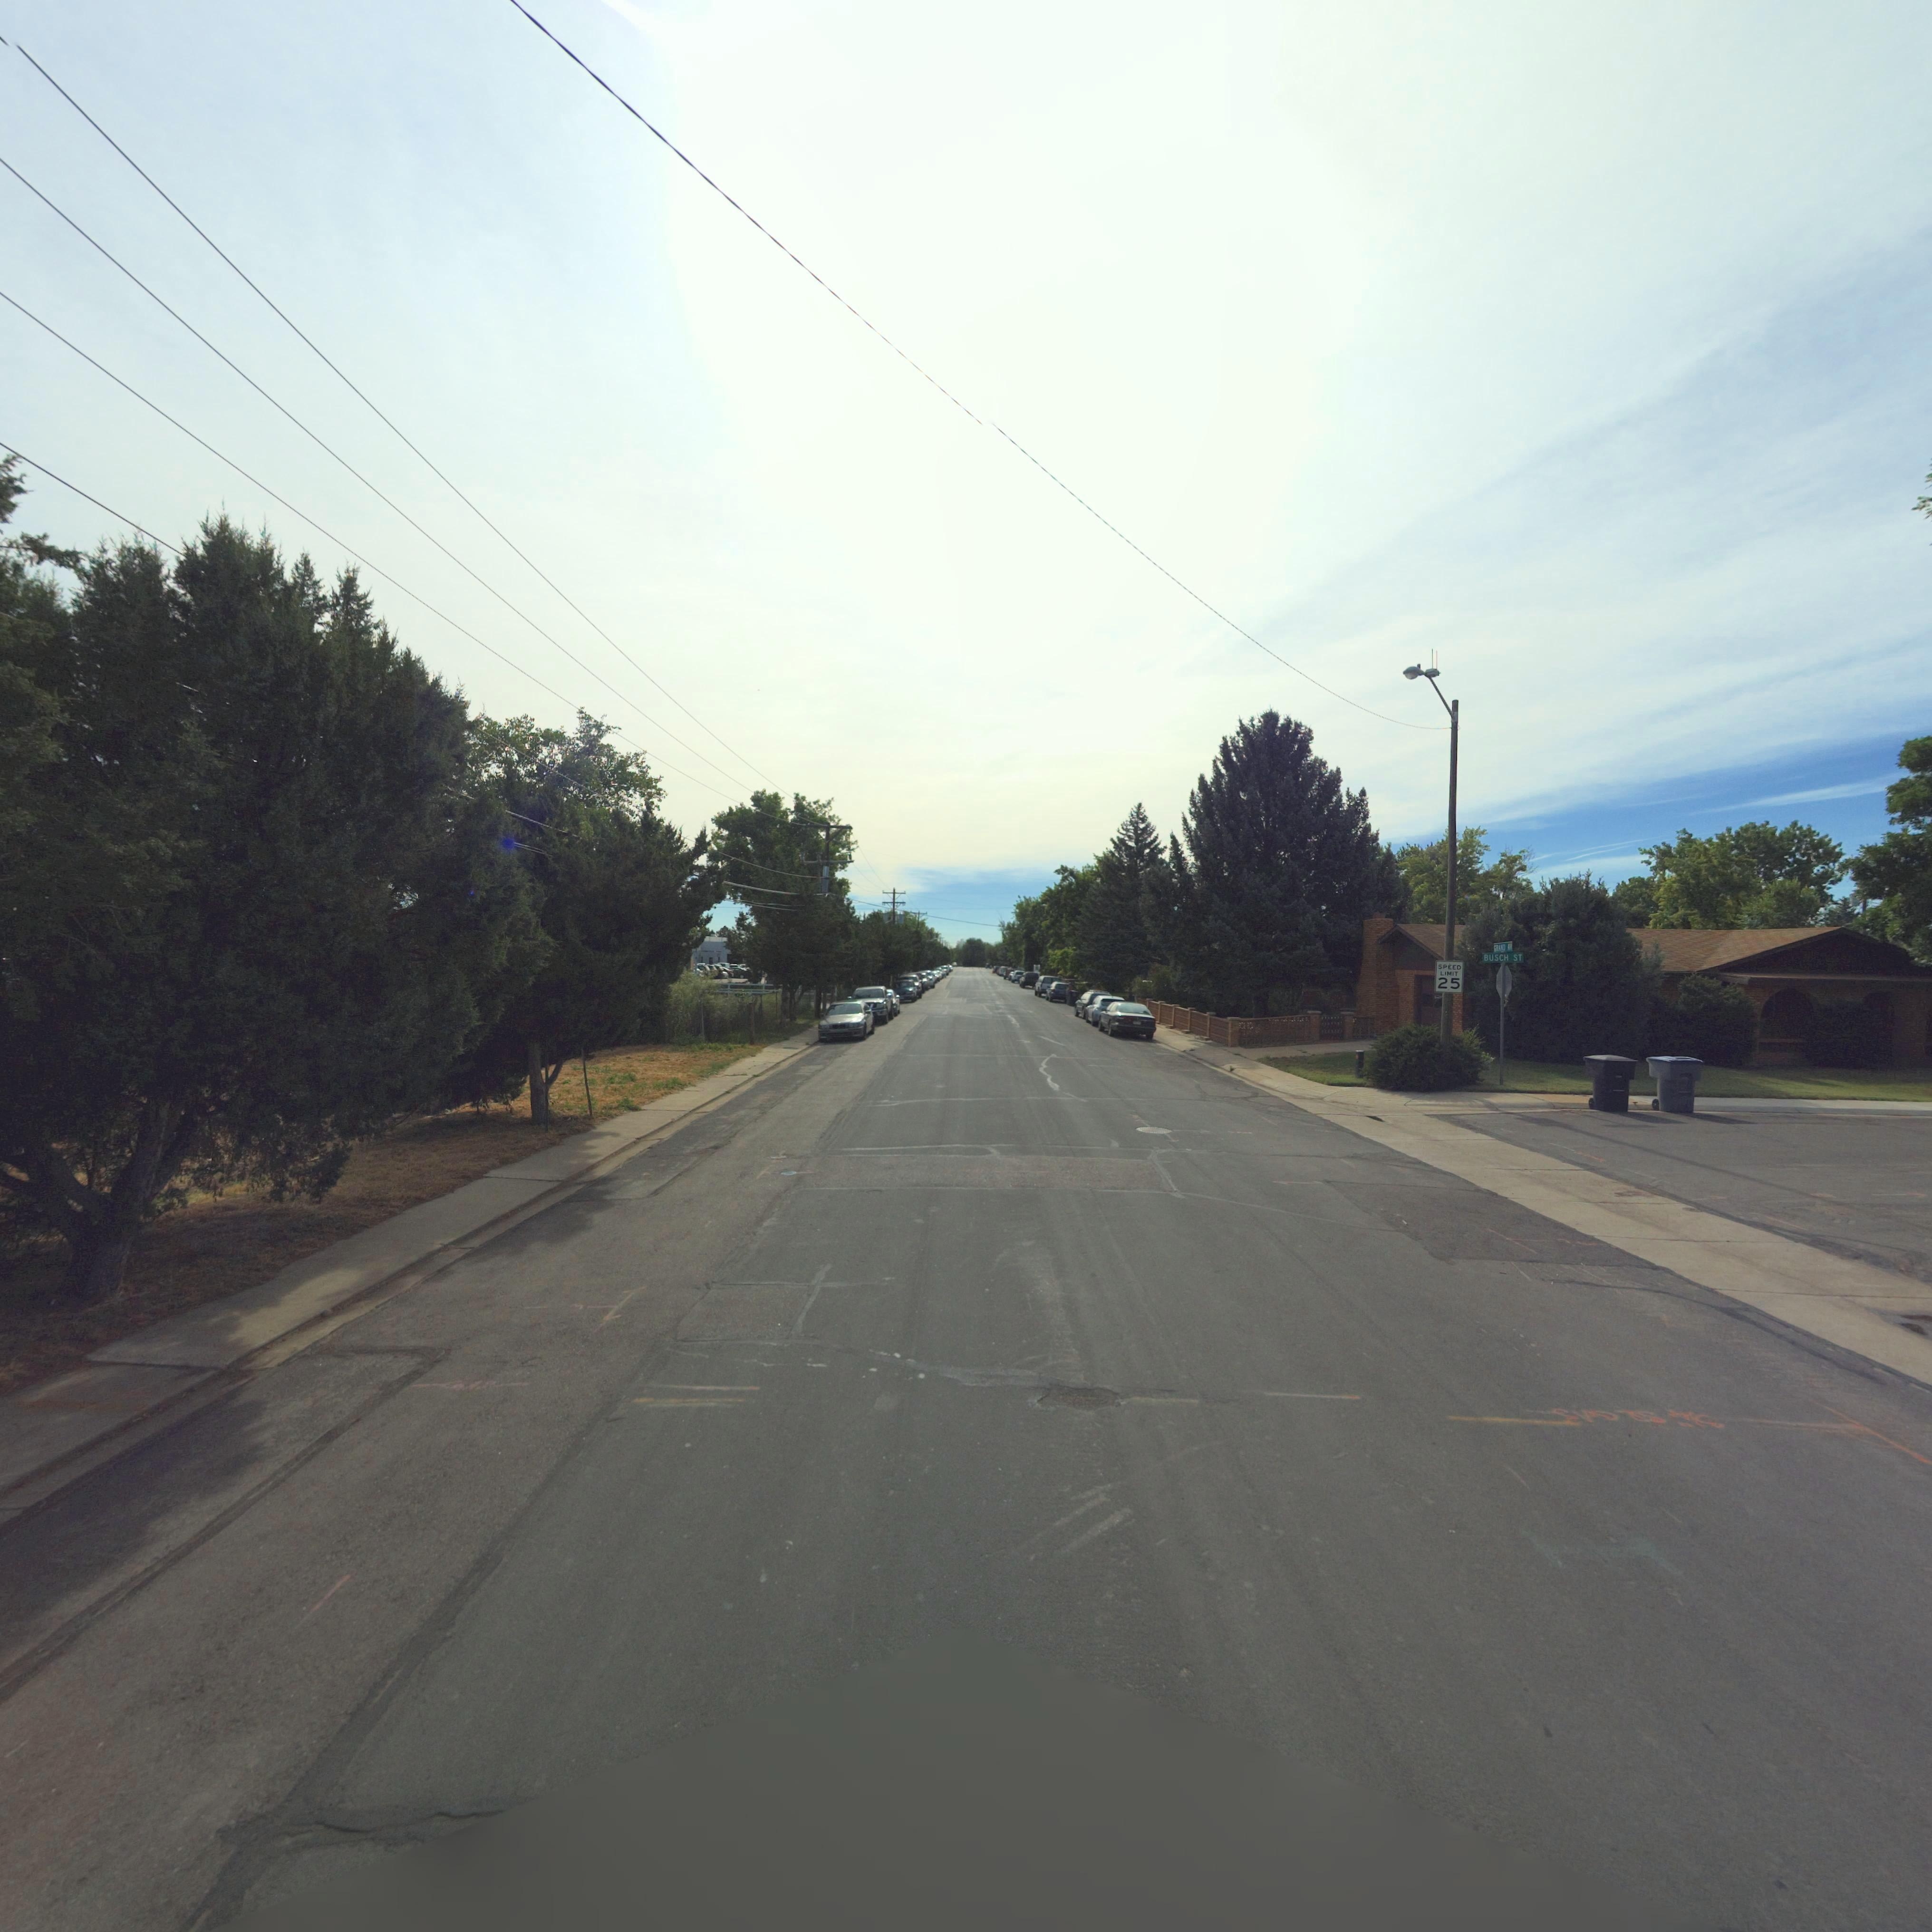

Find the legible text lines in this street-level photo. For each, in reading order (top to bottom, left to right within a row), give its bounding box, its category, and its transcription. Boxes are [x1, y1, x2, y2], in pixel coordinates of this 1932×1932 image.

[1494, 943, 1512, 952] StreetName: GRAN* AV
[1484, 954, 1522, 961] StreetName: BUSCH ST